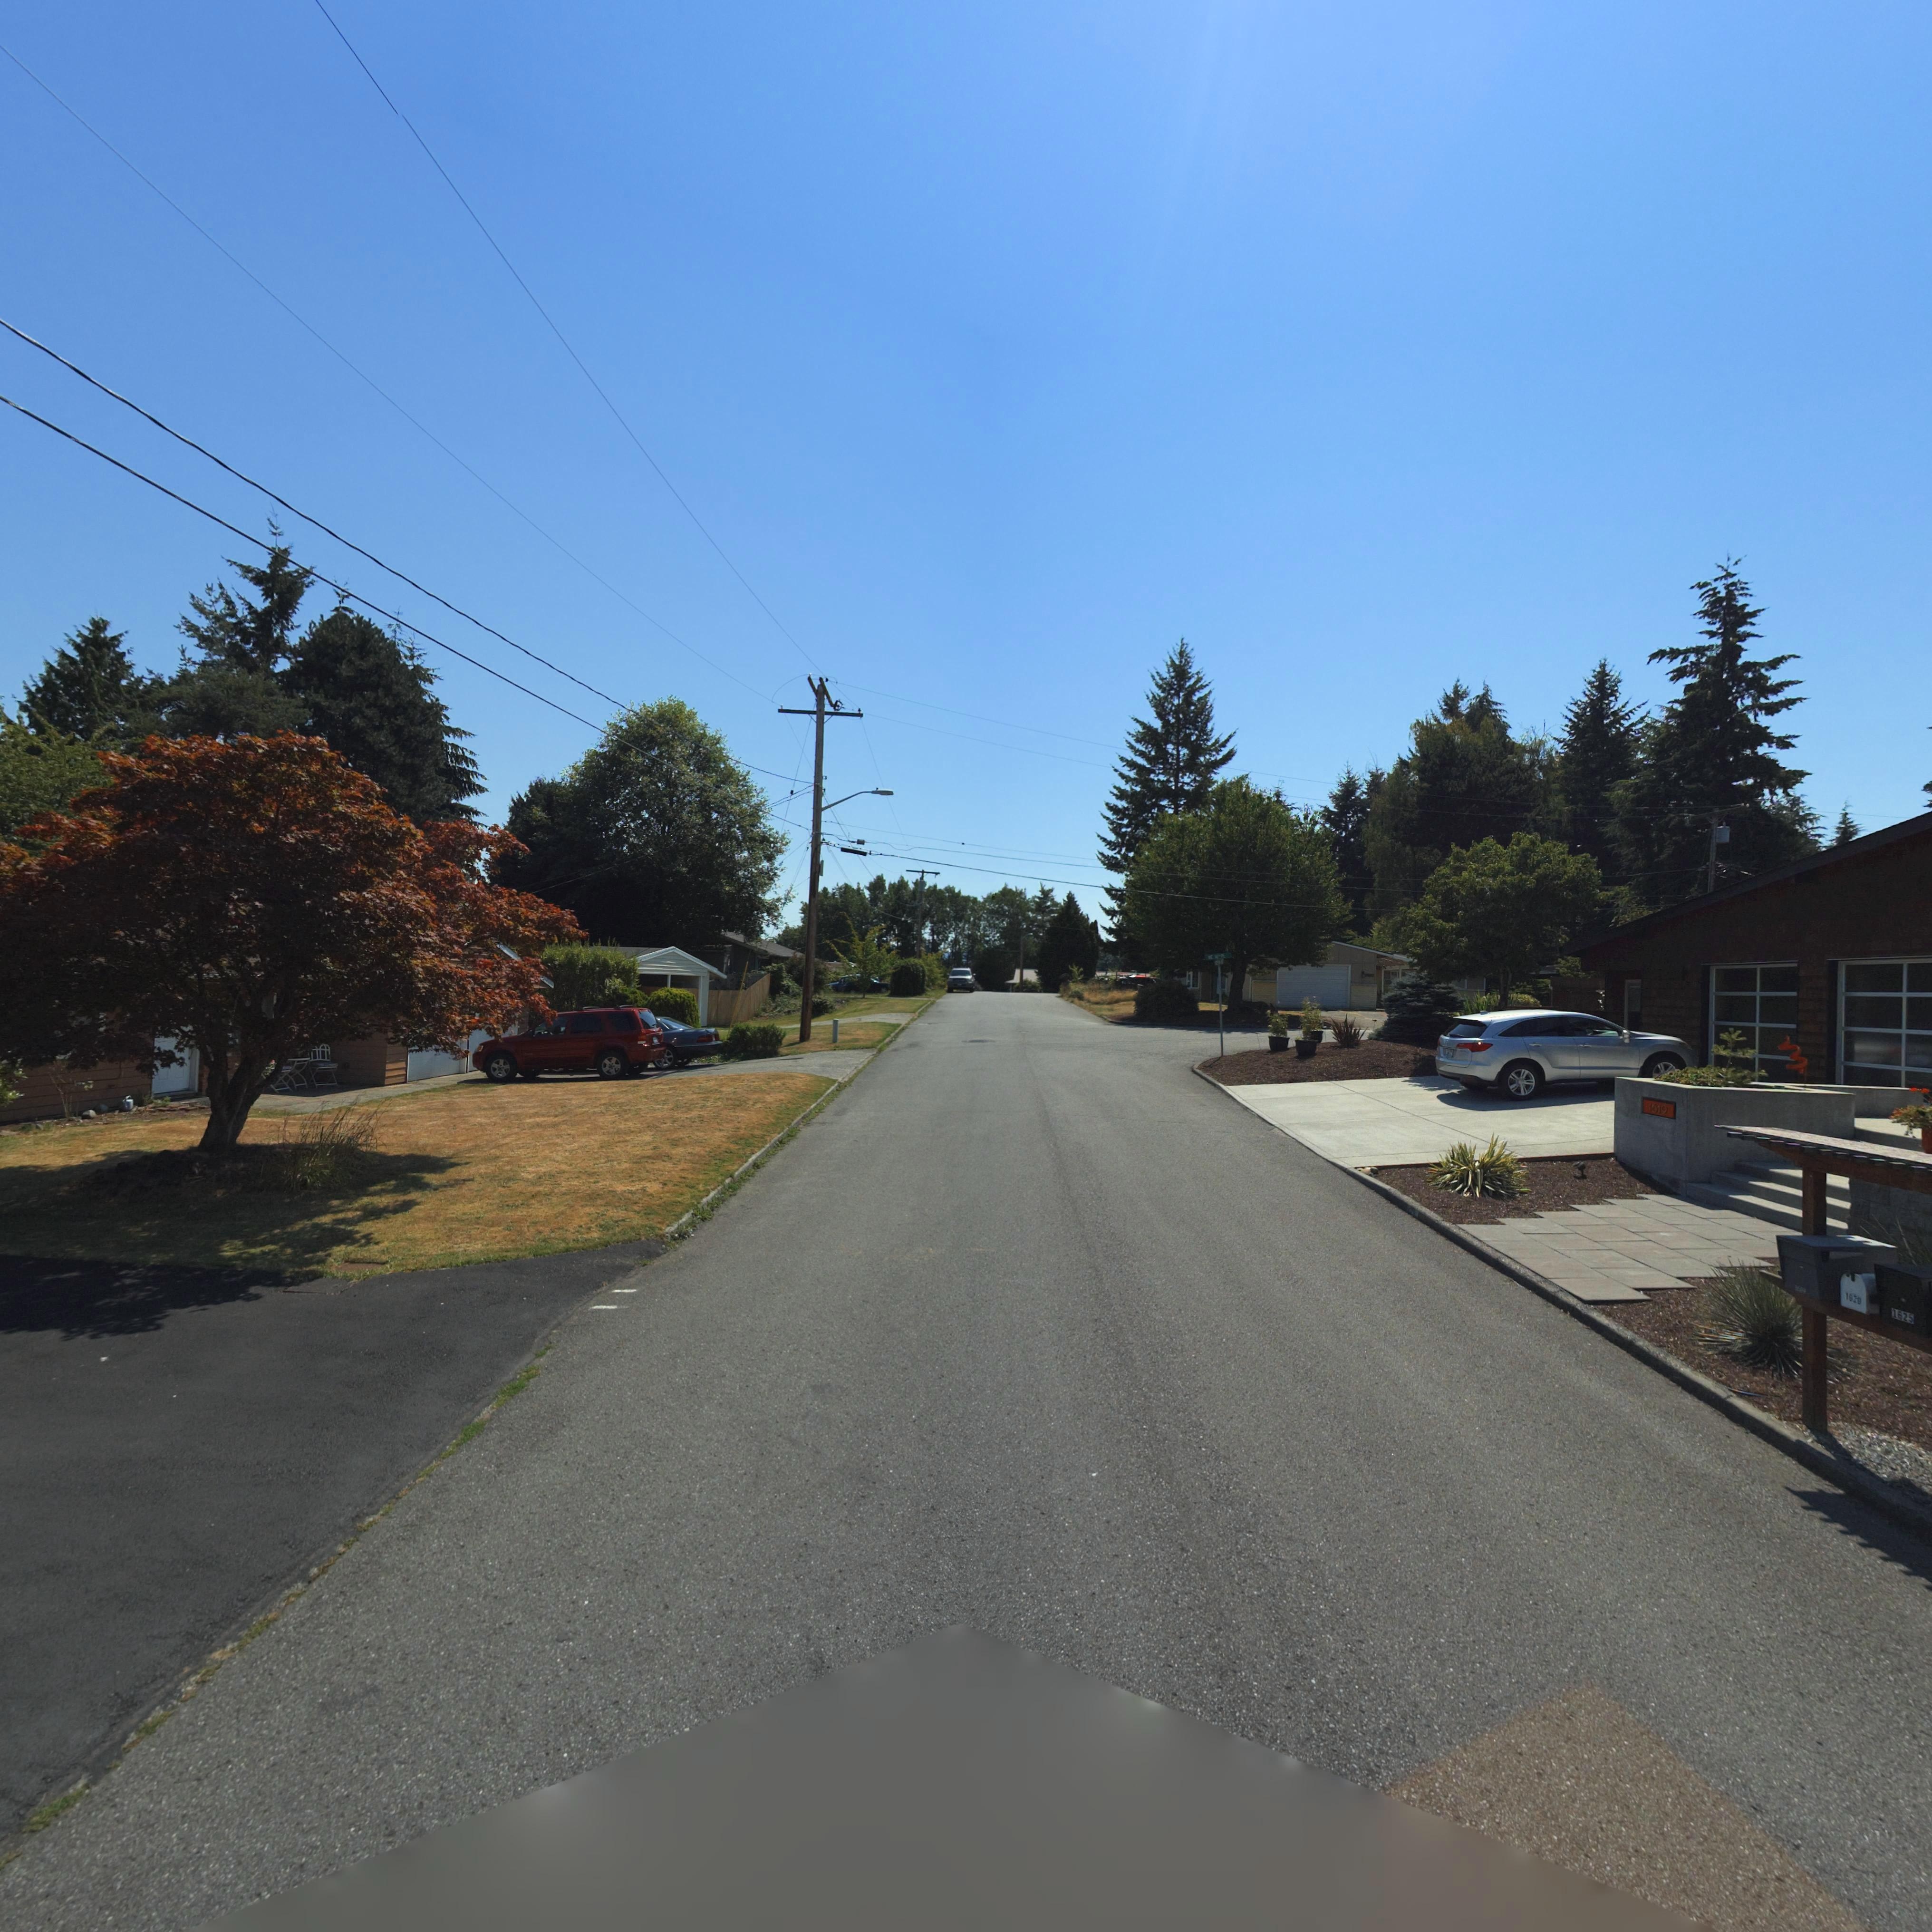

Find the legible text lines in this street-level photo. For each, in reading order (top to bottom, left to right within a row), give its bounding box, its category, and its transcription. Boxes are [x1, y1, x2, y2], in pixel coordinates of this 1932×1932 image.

[1648, 1101, 1668, 1115] StreetNumber: 1619
[1845, 1291, 1862, 1305] StreetNumber: 1629
[1892, 1308, 1913, 1323] StreetNumber: 1625